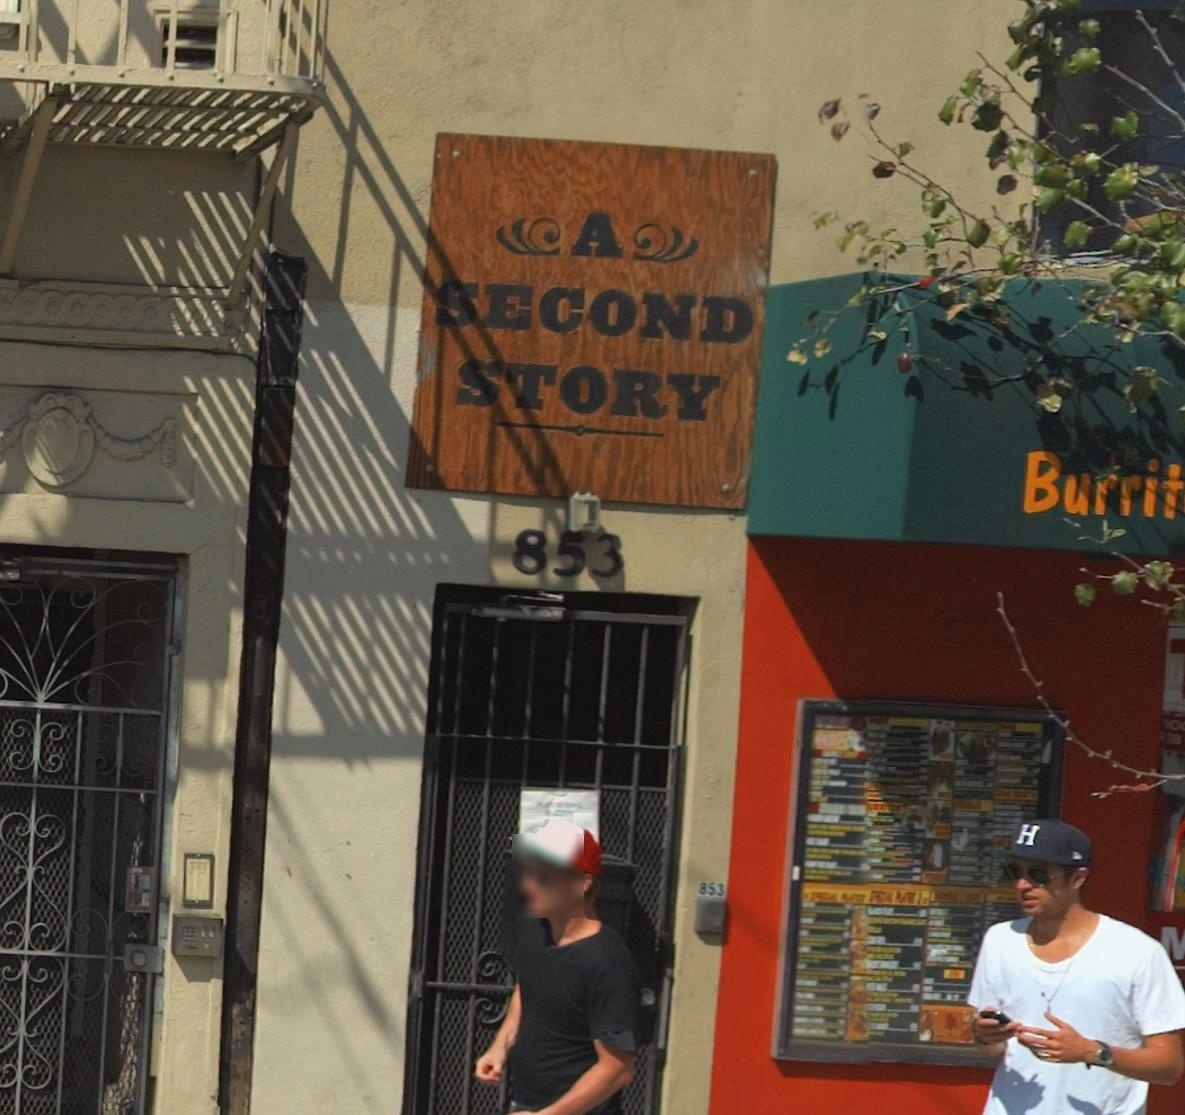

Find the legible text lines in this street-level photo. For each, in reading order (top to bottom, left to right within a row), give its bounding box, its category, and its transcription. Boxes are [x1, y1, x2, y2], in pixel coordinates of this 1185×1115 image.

[562, 205, 628, 265] BusinessName: A
[429, 277, 758, 348] BusinessName: SECOND
[452, 356, 729, 424] BusinessName: STORY
[1022, 446, 1185, 525] None: Burrit
[507, 527, 631, 582] StreetNumber: 853
[1013, 822, 1044, 849] None: H
[698, 880, 725, 897] StreetNumber: 853